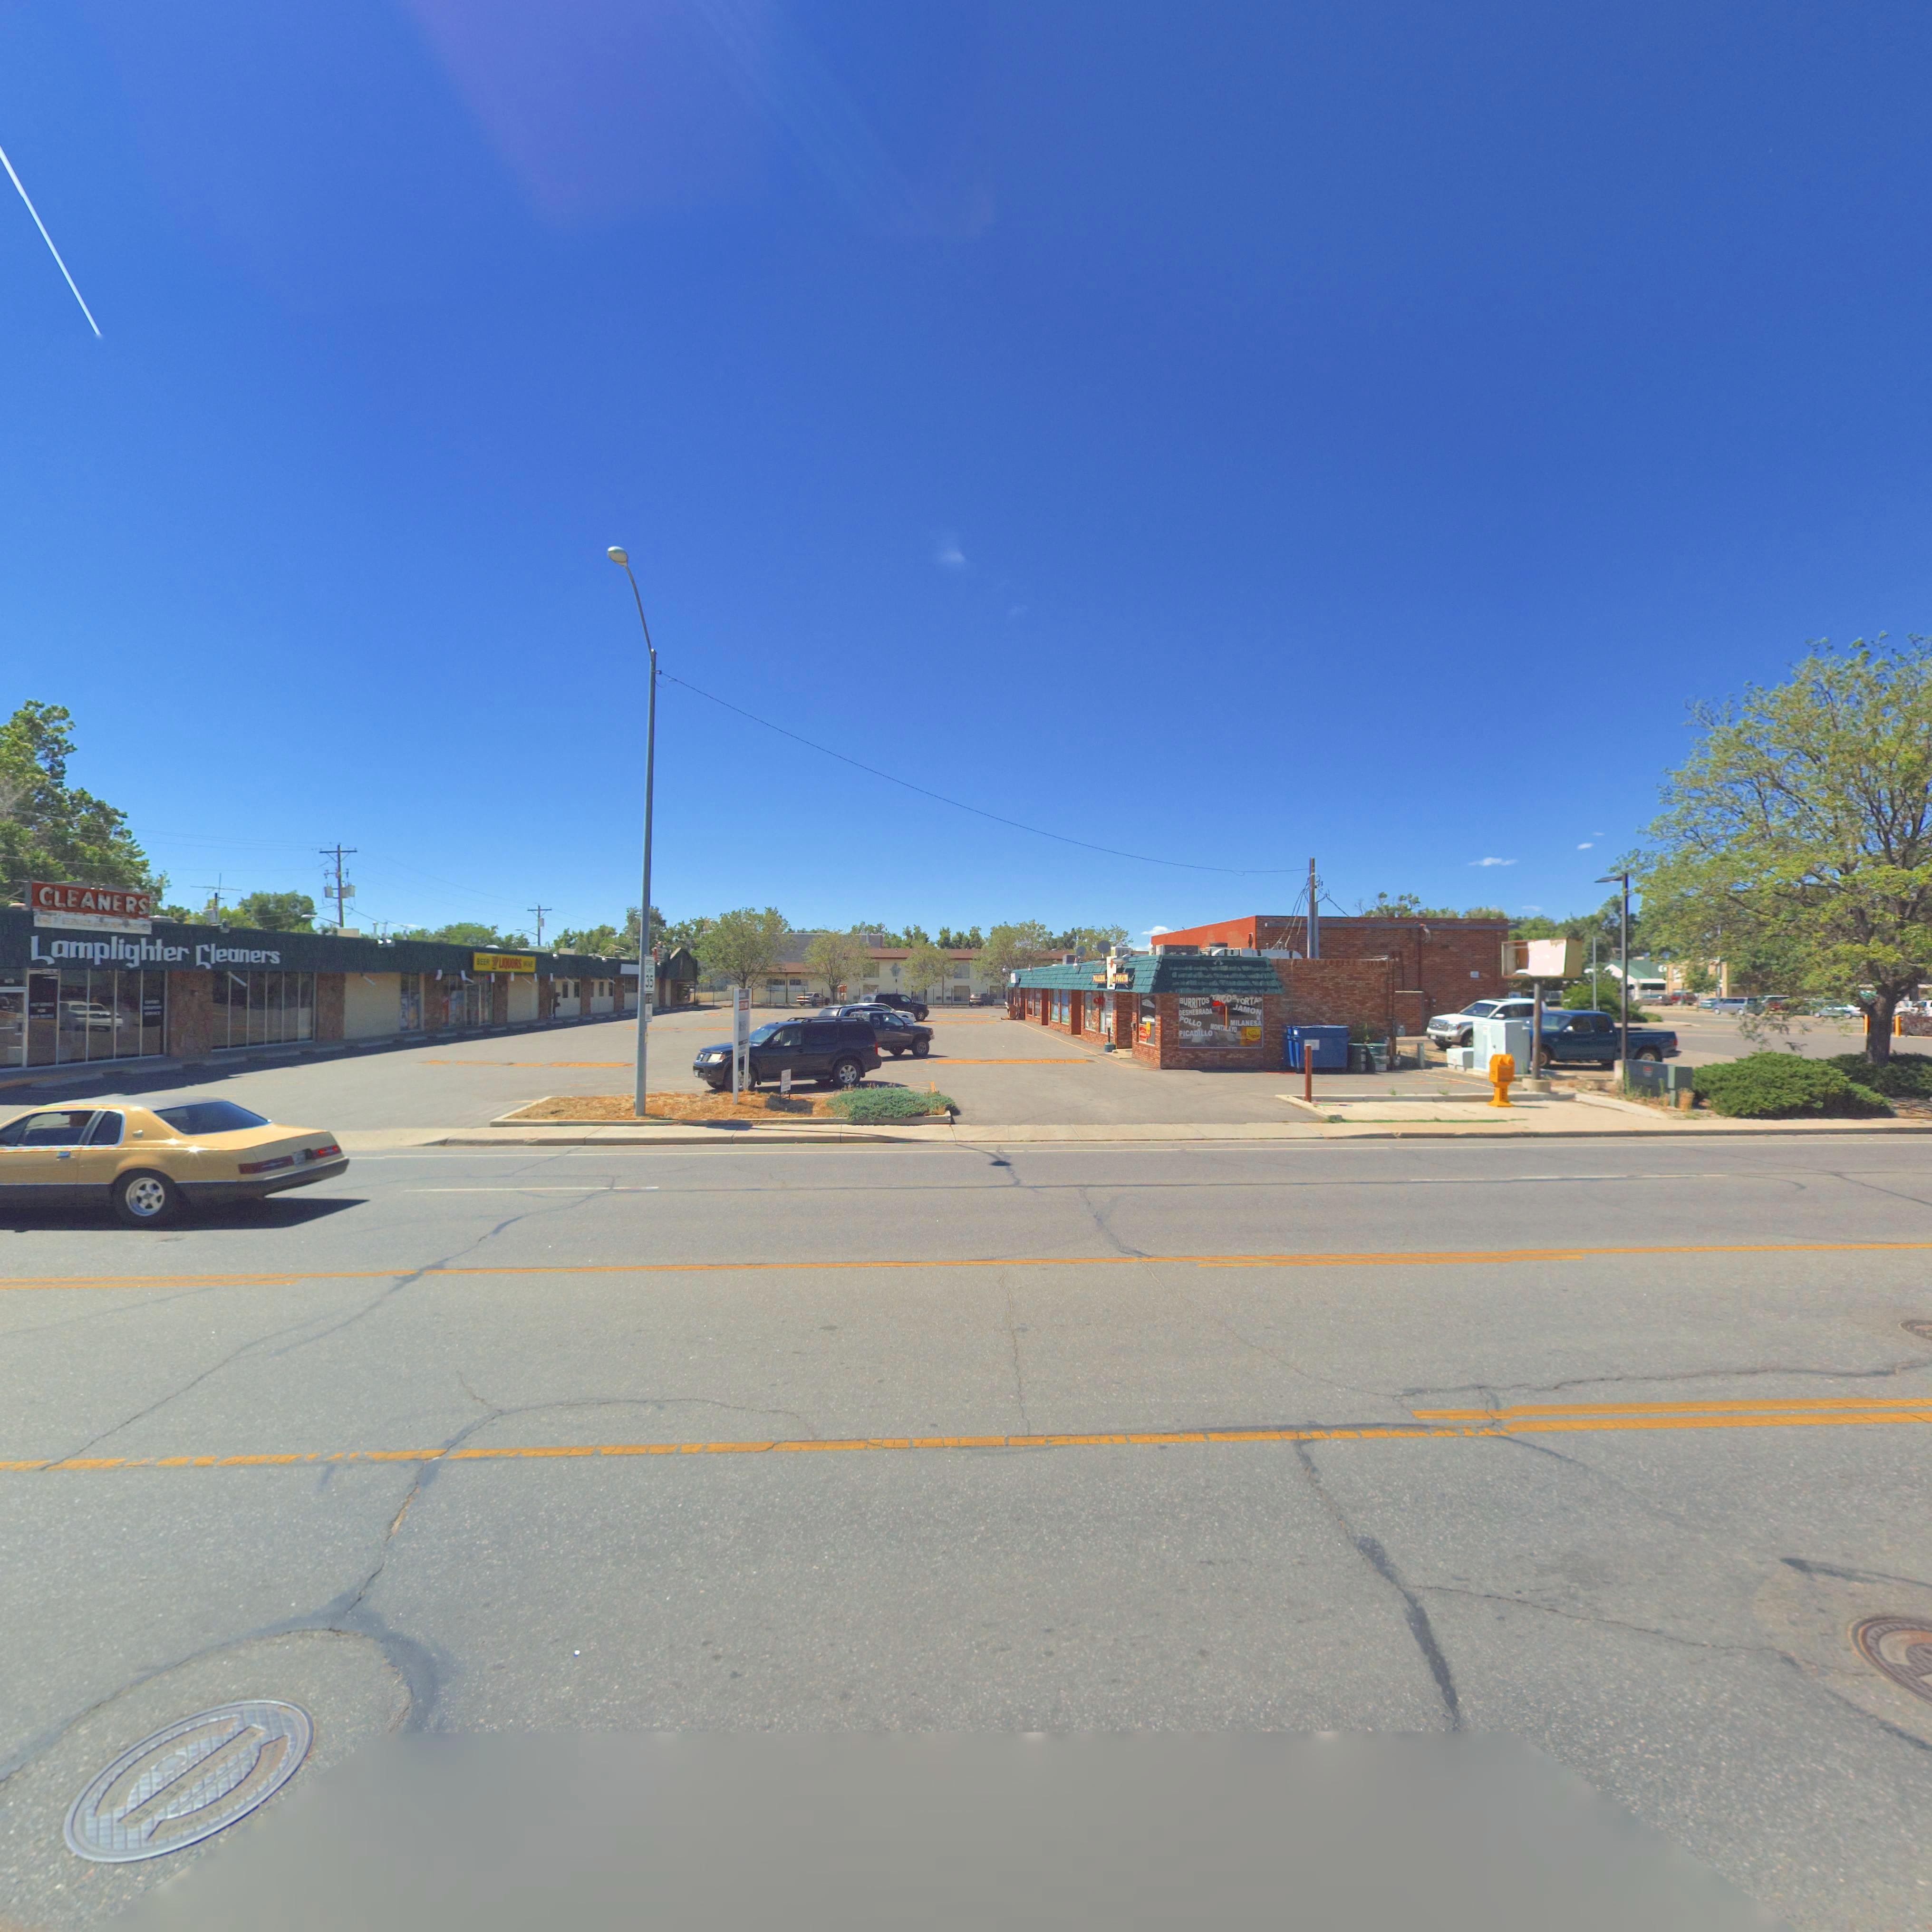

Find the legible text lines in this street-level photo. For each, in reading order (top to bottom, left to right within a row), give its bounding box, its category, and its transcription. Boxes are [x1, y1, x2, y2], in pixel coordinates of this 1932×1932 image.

[31, 935, 190, 968] BusinessName: Lamplighter
[194, 943, 280, 969] BusinessName: Cleaners
[491, 955, 522, 970] BusinessName: 7 LQUORS
[1092, 974, 1106, 982] BusinessName: P******A
[1112, 973, 1128, 982] BusinessName: ** F*G***